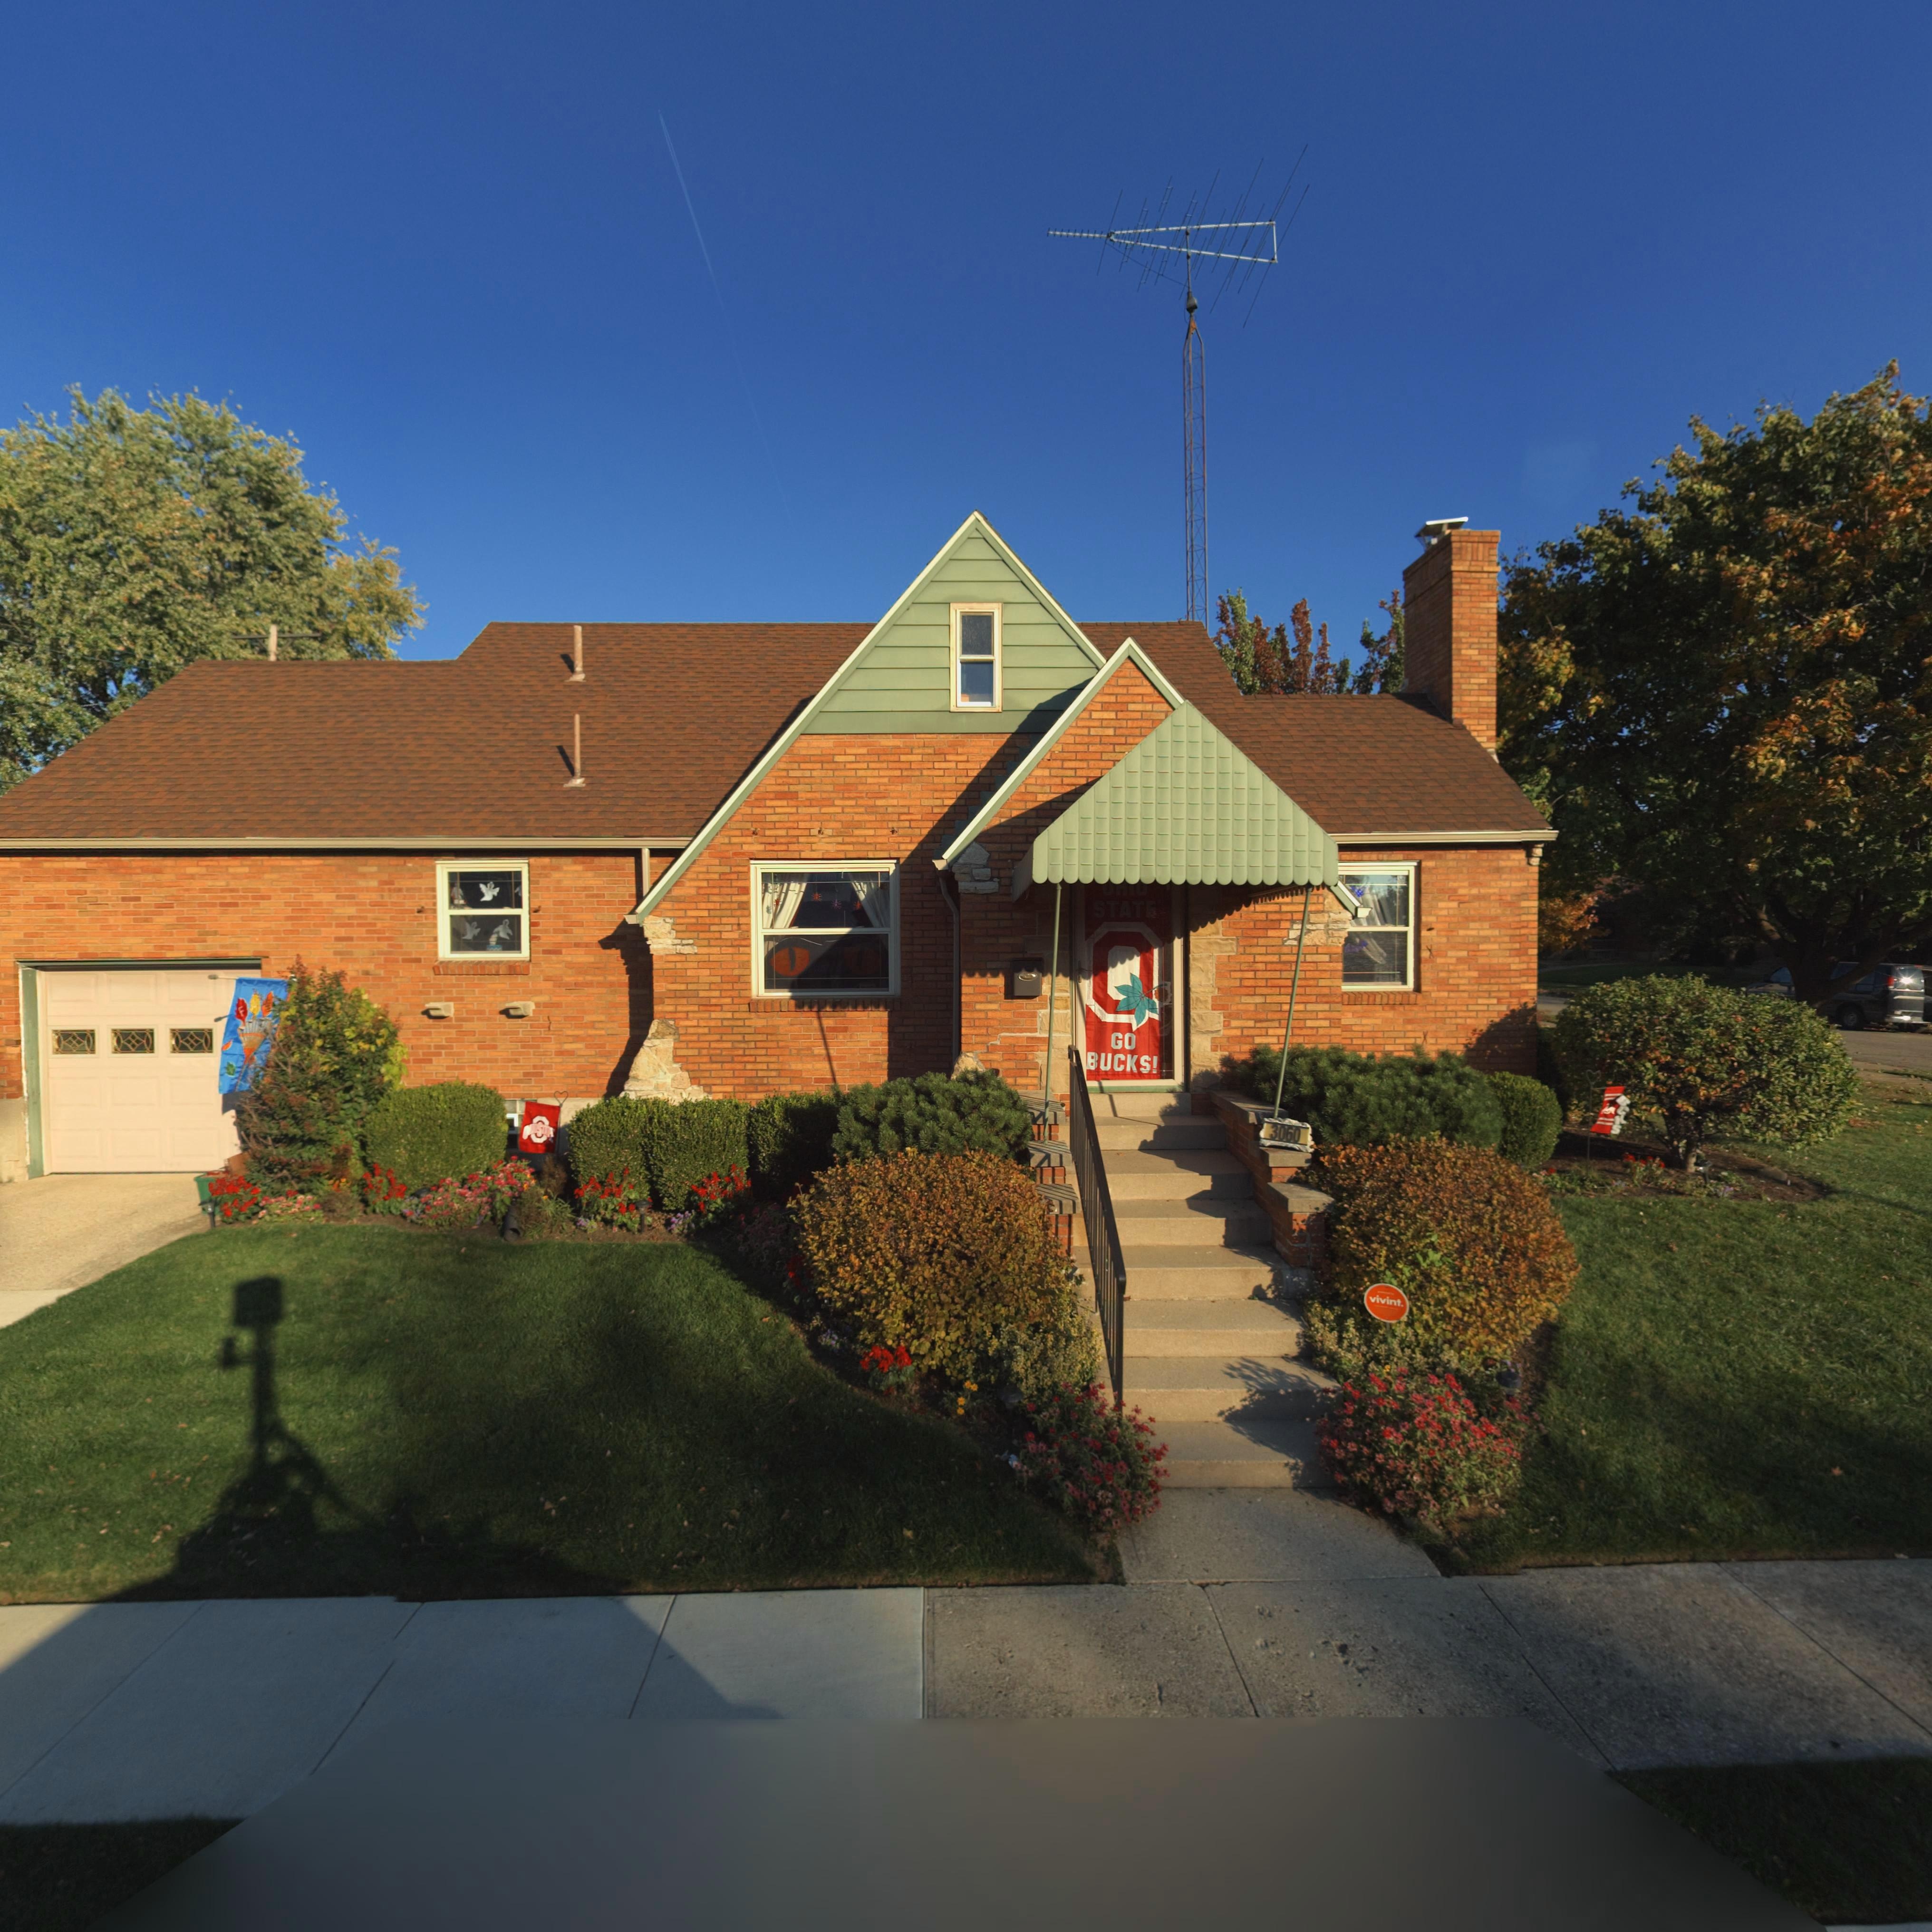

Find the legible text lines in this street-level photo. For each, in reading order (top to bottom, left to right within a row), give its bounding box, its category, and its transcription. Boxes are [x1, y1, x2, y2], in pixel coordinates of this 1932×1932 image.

[1268, 1121, 1303, 1146] StreetNumber: 3060